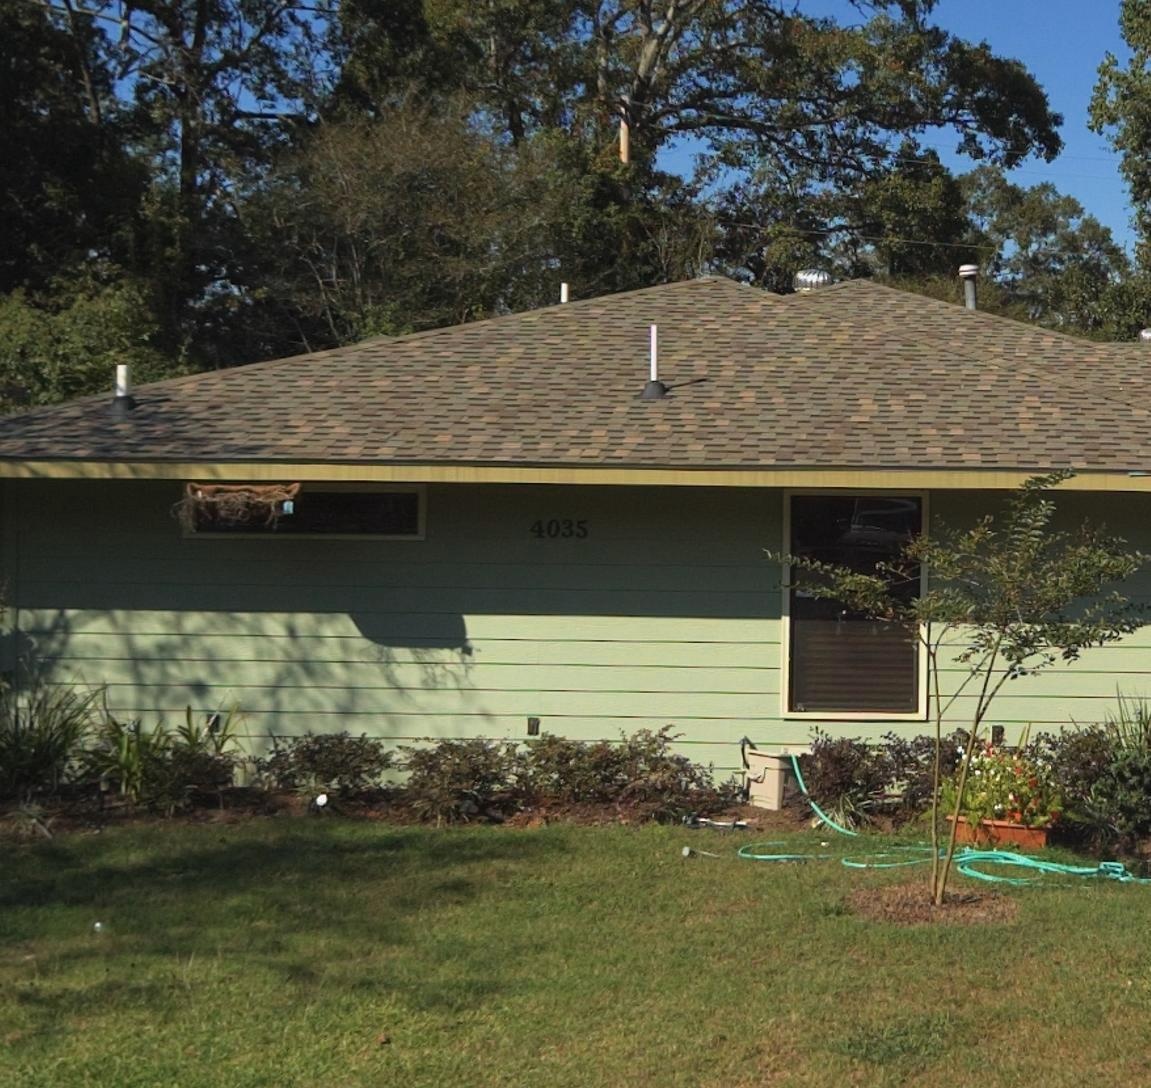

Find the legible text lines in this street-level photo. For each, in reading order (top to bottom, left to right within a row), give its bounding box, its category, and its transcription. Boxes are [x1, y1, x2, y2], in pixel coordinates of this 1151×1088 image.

[529, 518, 588, 540] StreetNumber: 4035